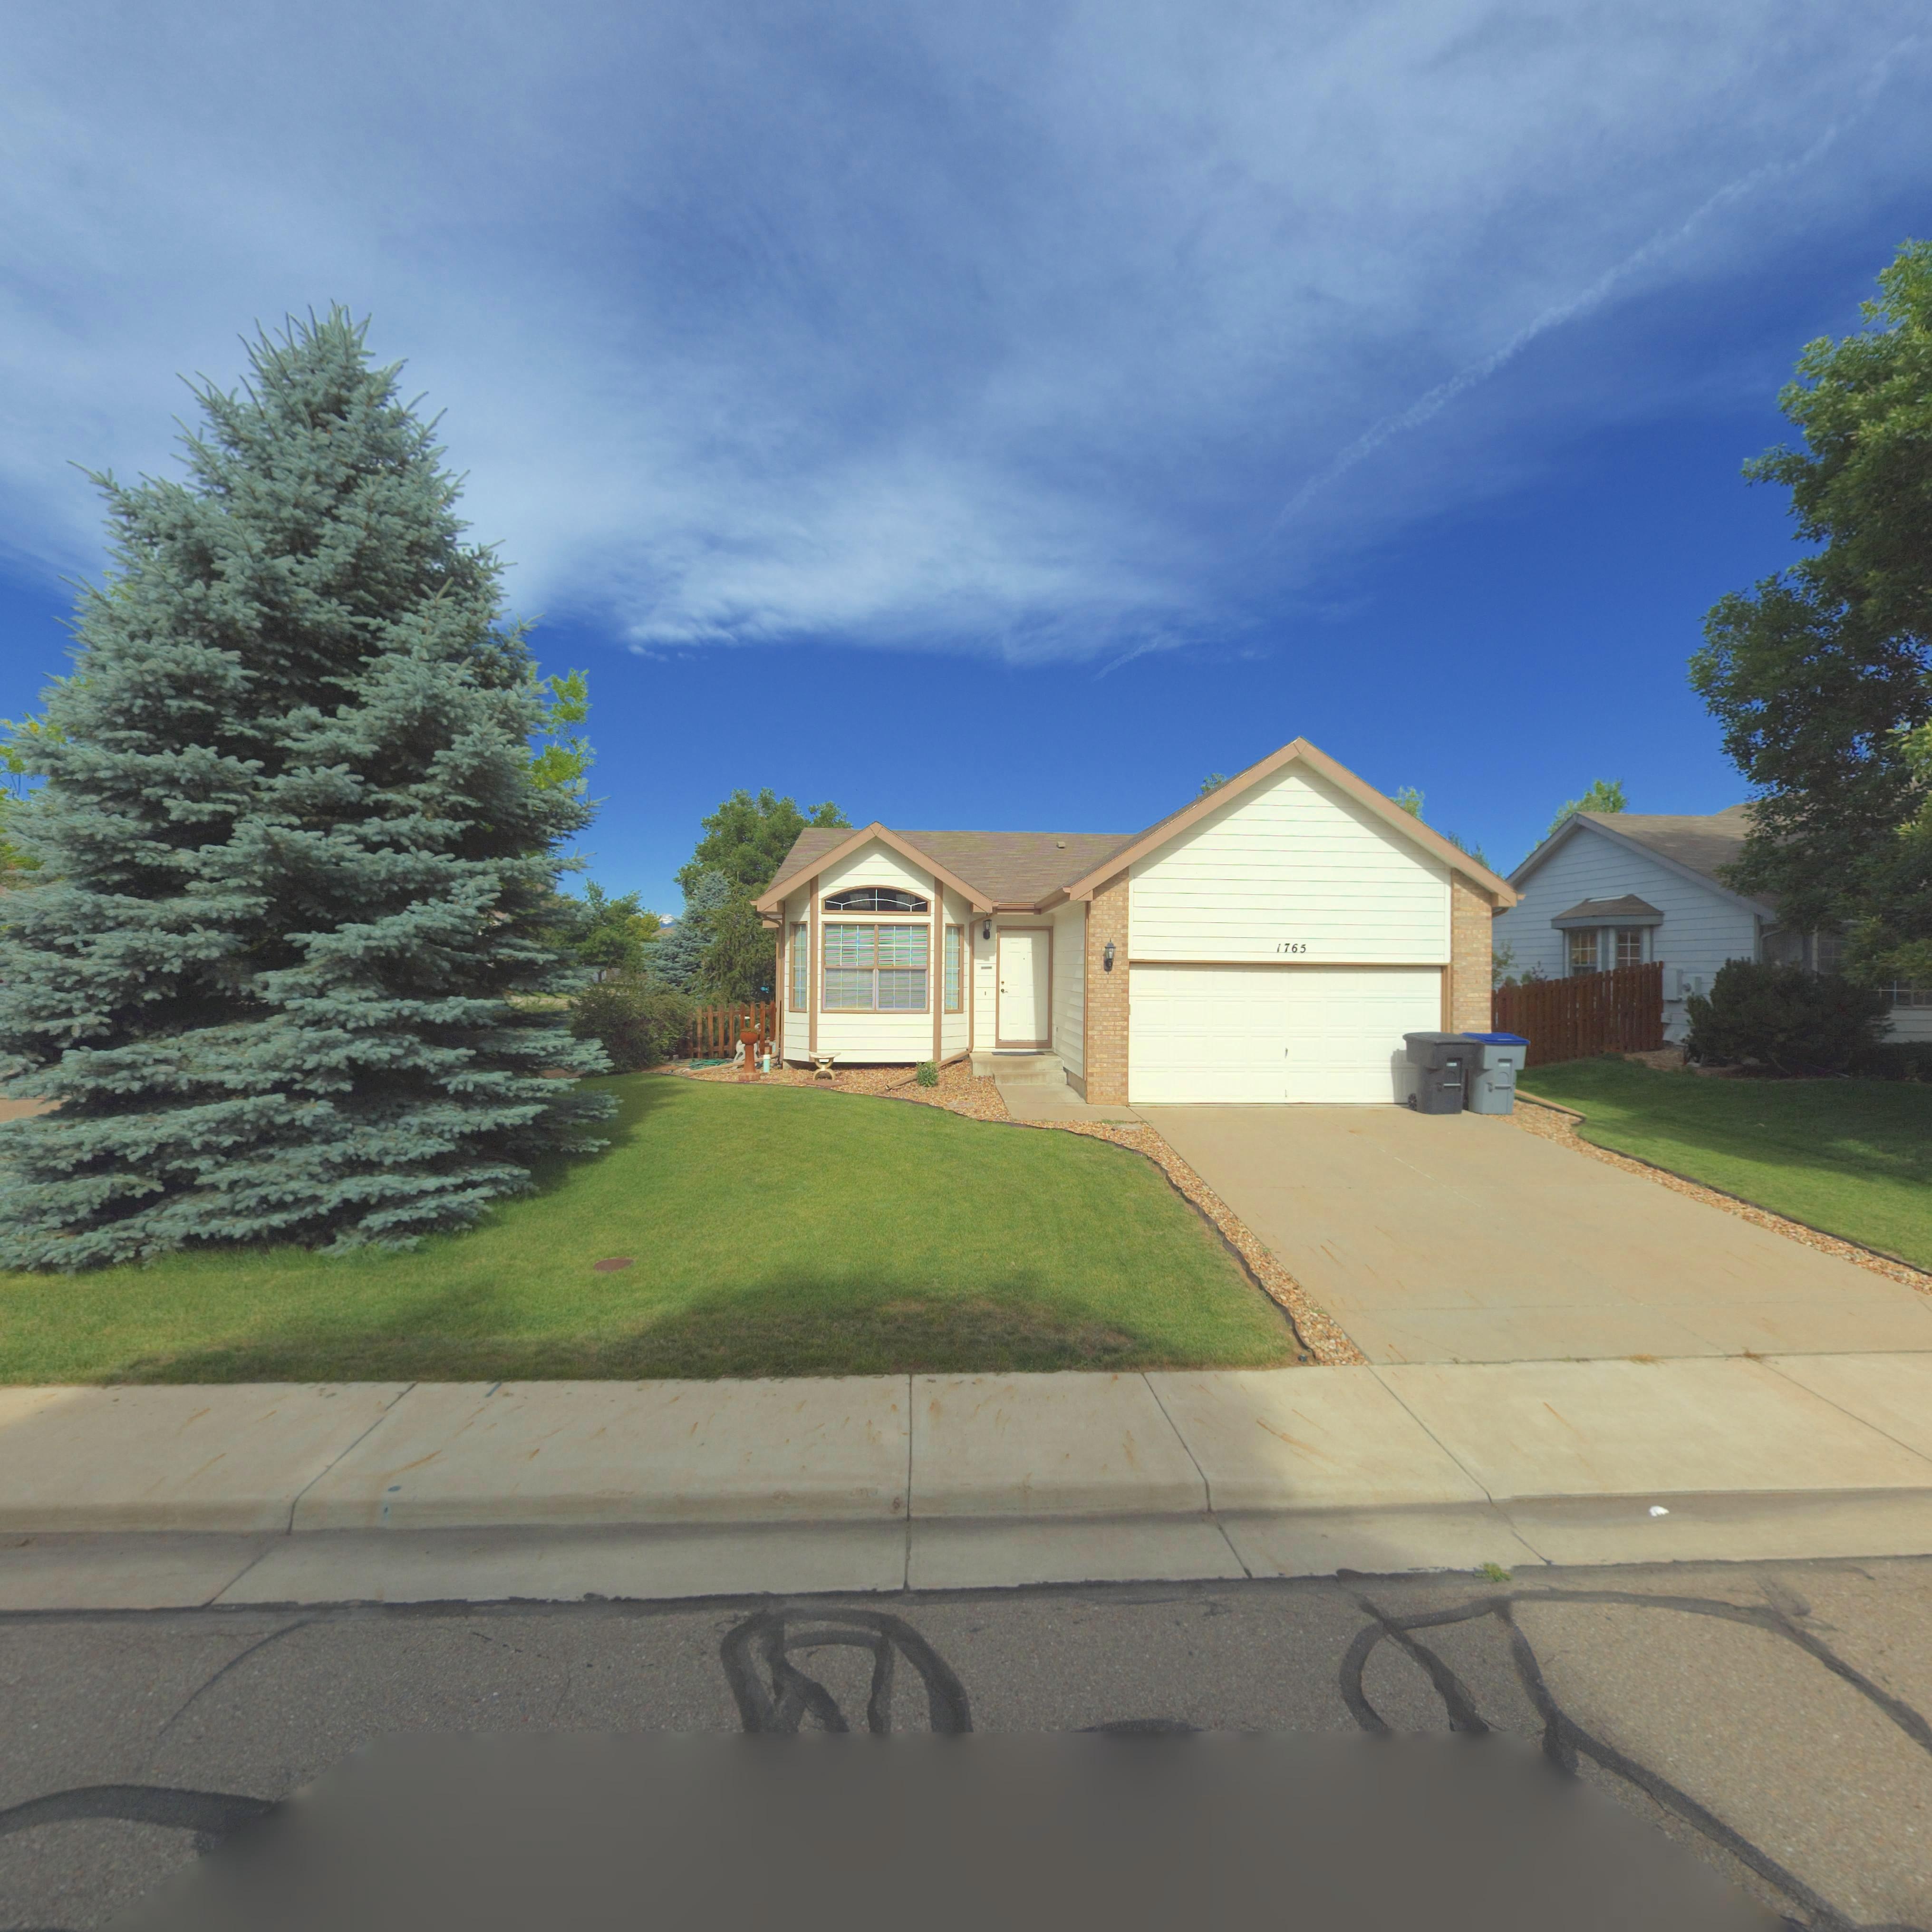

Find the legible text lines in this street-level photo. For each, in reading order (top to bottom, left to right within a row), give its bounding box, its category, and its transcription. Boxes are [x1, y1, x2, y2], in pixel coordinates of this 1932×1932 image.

[1275, 943, 1306, 954] StreetNumber: 1765